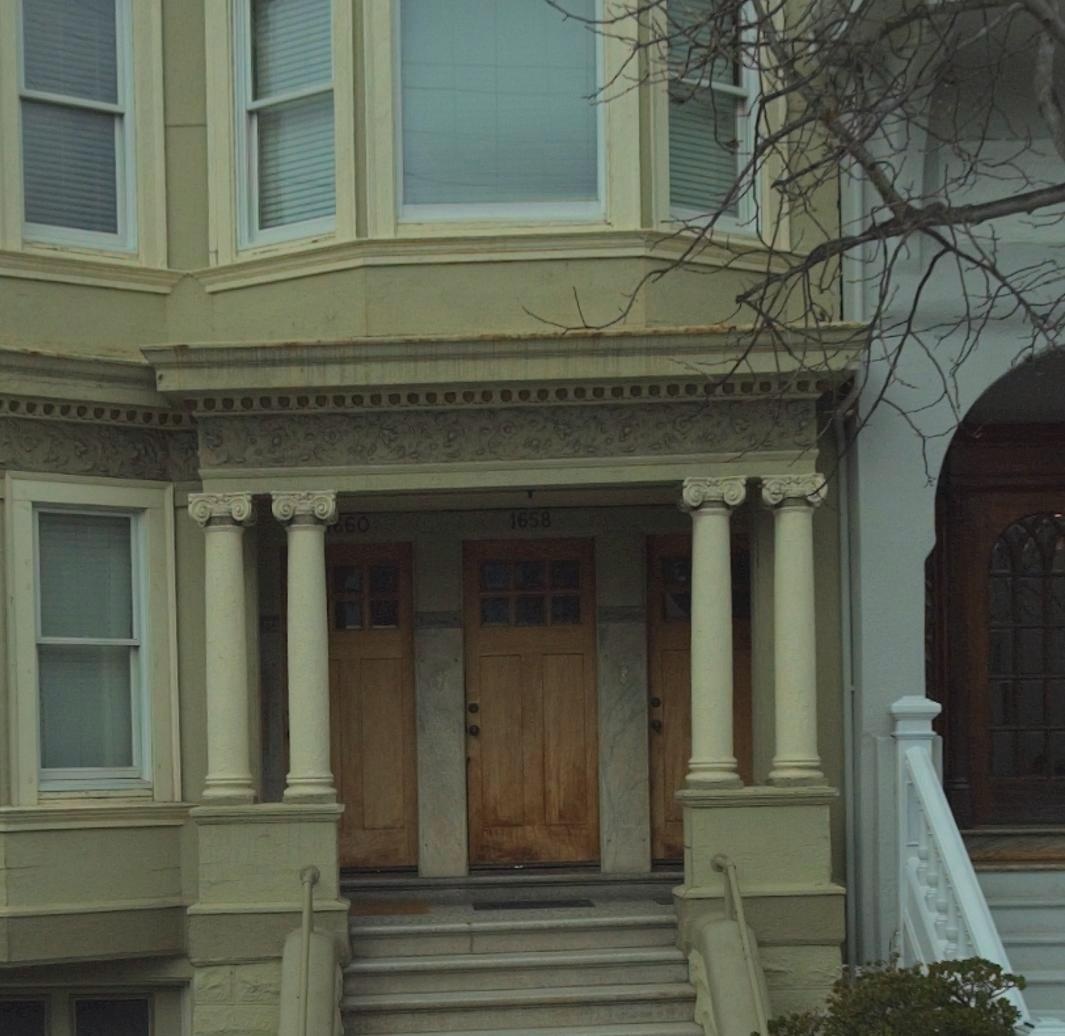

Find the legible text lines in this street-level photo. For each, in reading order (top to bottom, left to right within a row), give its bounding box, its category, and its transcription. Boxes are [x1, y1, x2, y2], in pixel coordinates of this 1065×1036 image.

[342, 513, 370, 534] StreetNumber: 60
[508, 509, 551, 530] StreetNumber: 1658